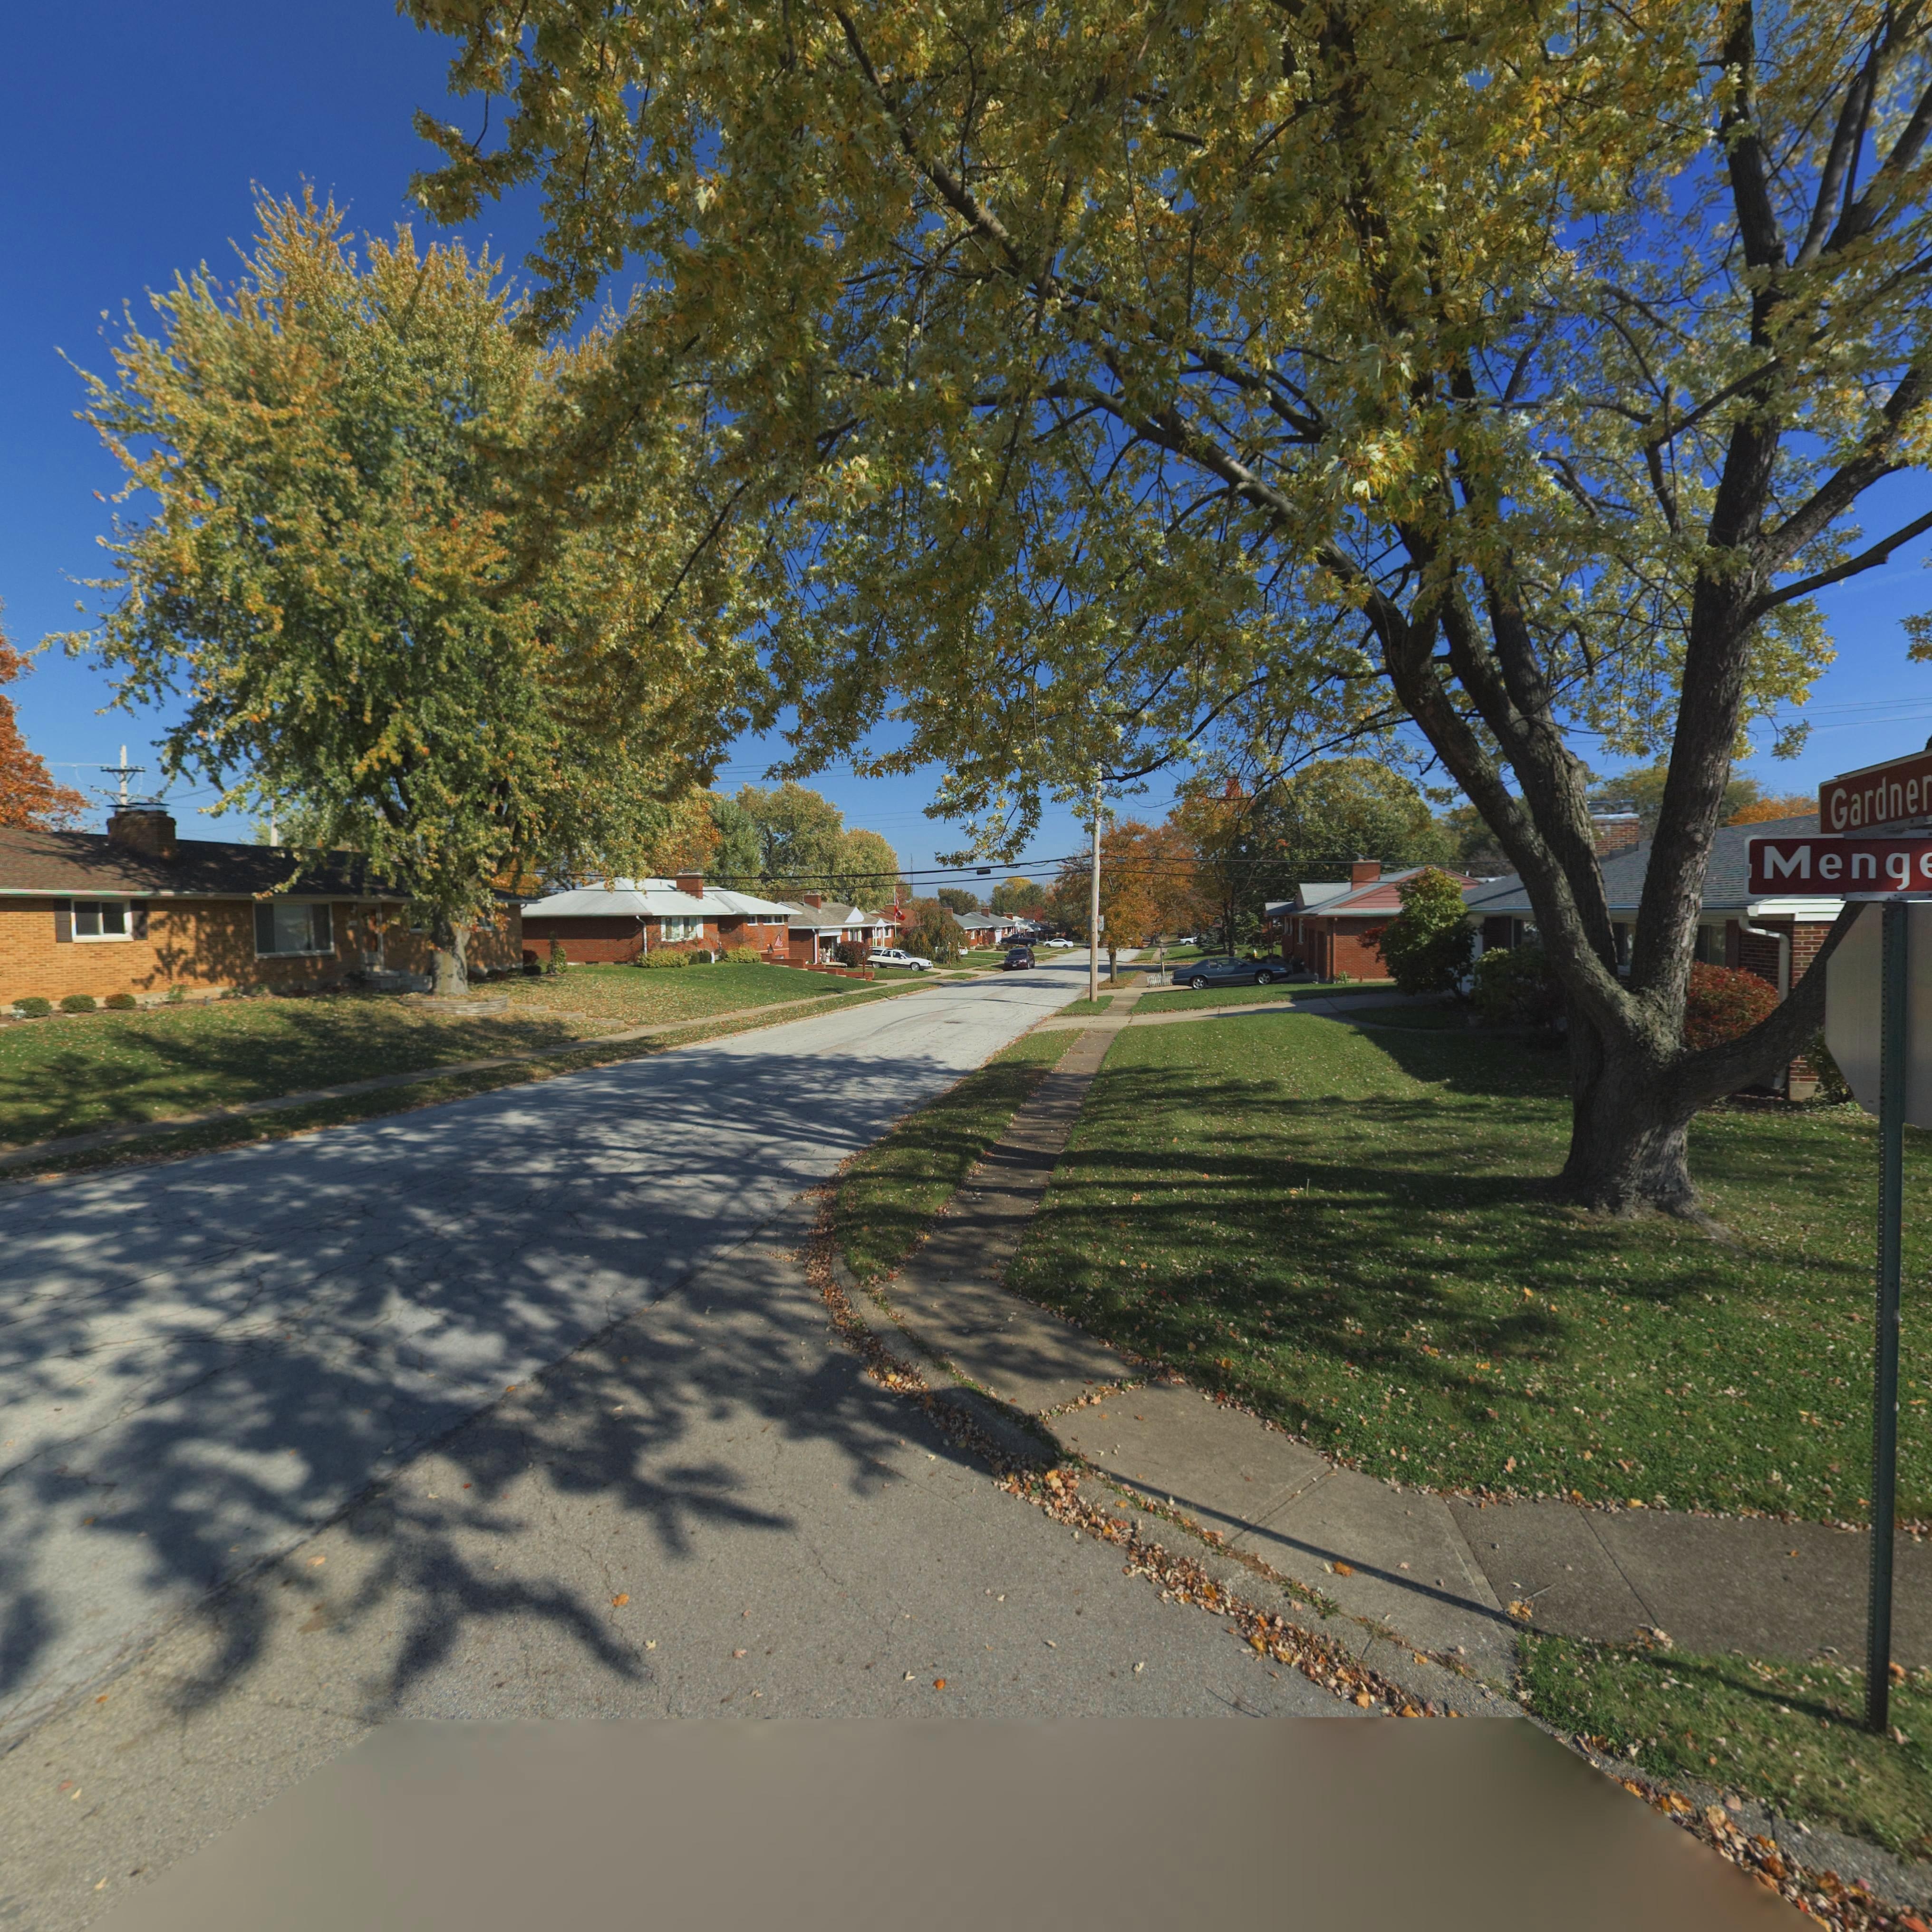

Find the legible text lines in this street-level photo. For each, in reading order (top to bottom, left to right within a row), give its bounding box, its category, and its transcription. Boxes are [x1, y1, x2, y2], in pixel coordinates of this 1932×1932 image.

[1828, 773, 1932, 831] StreetName: Gardner
[1762, 842, 1914, 892] StreetName: Meng